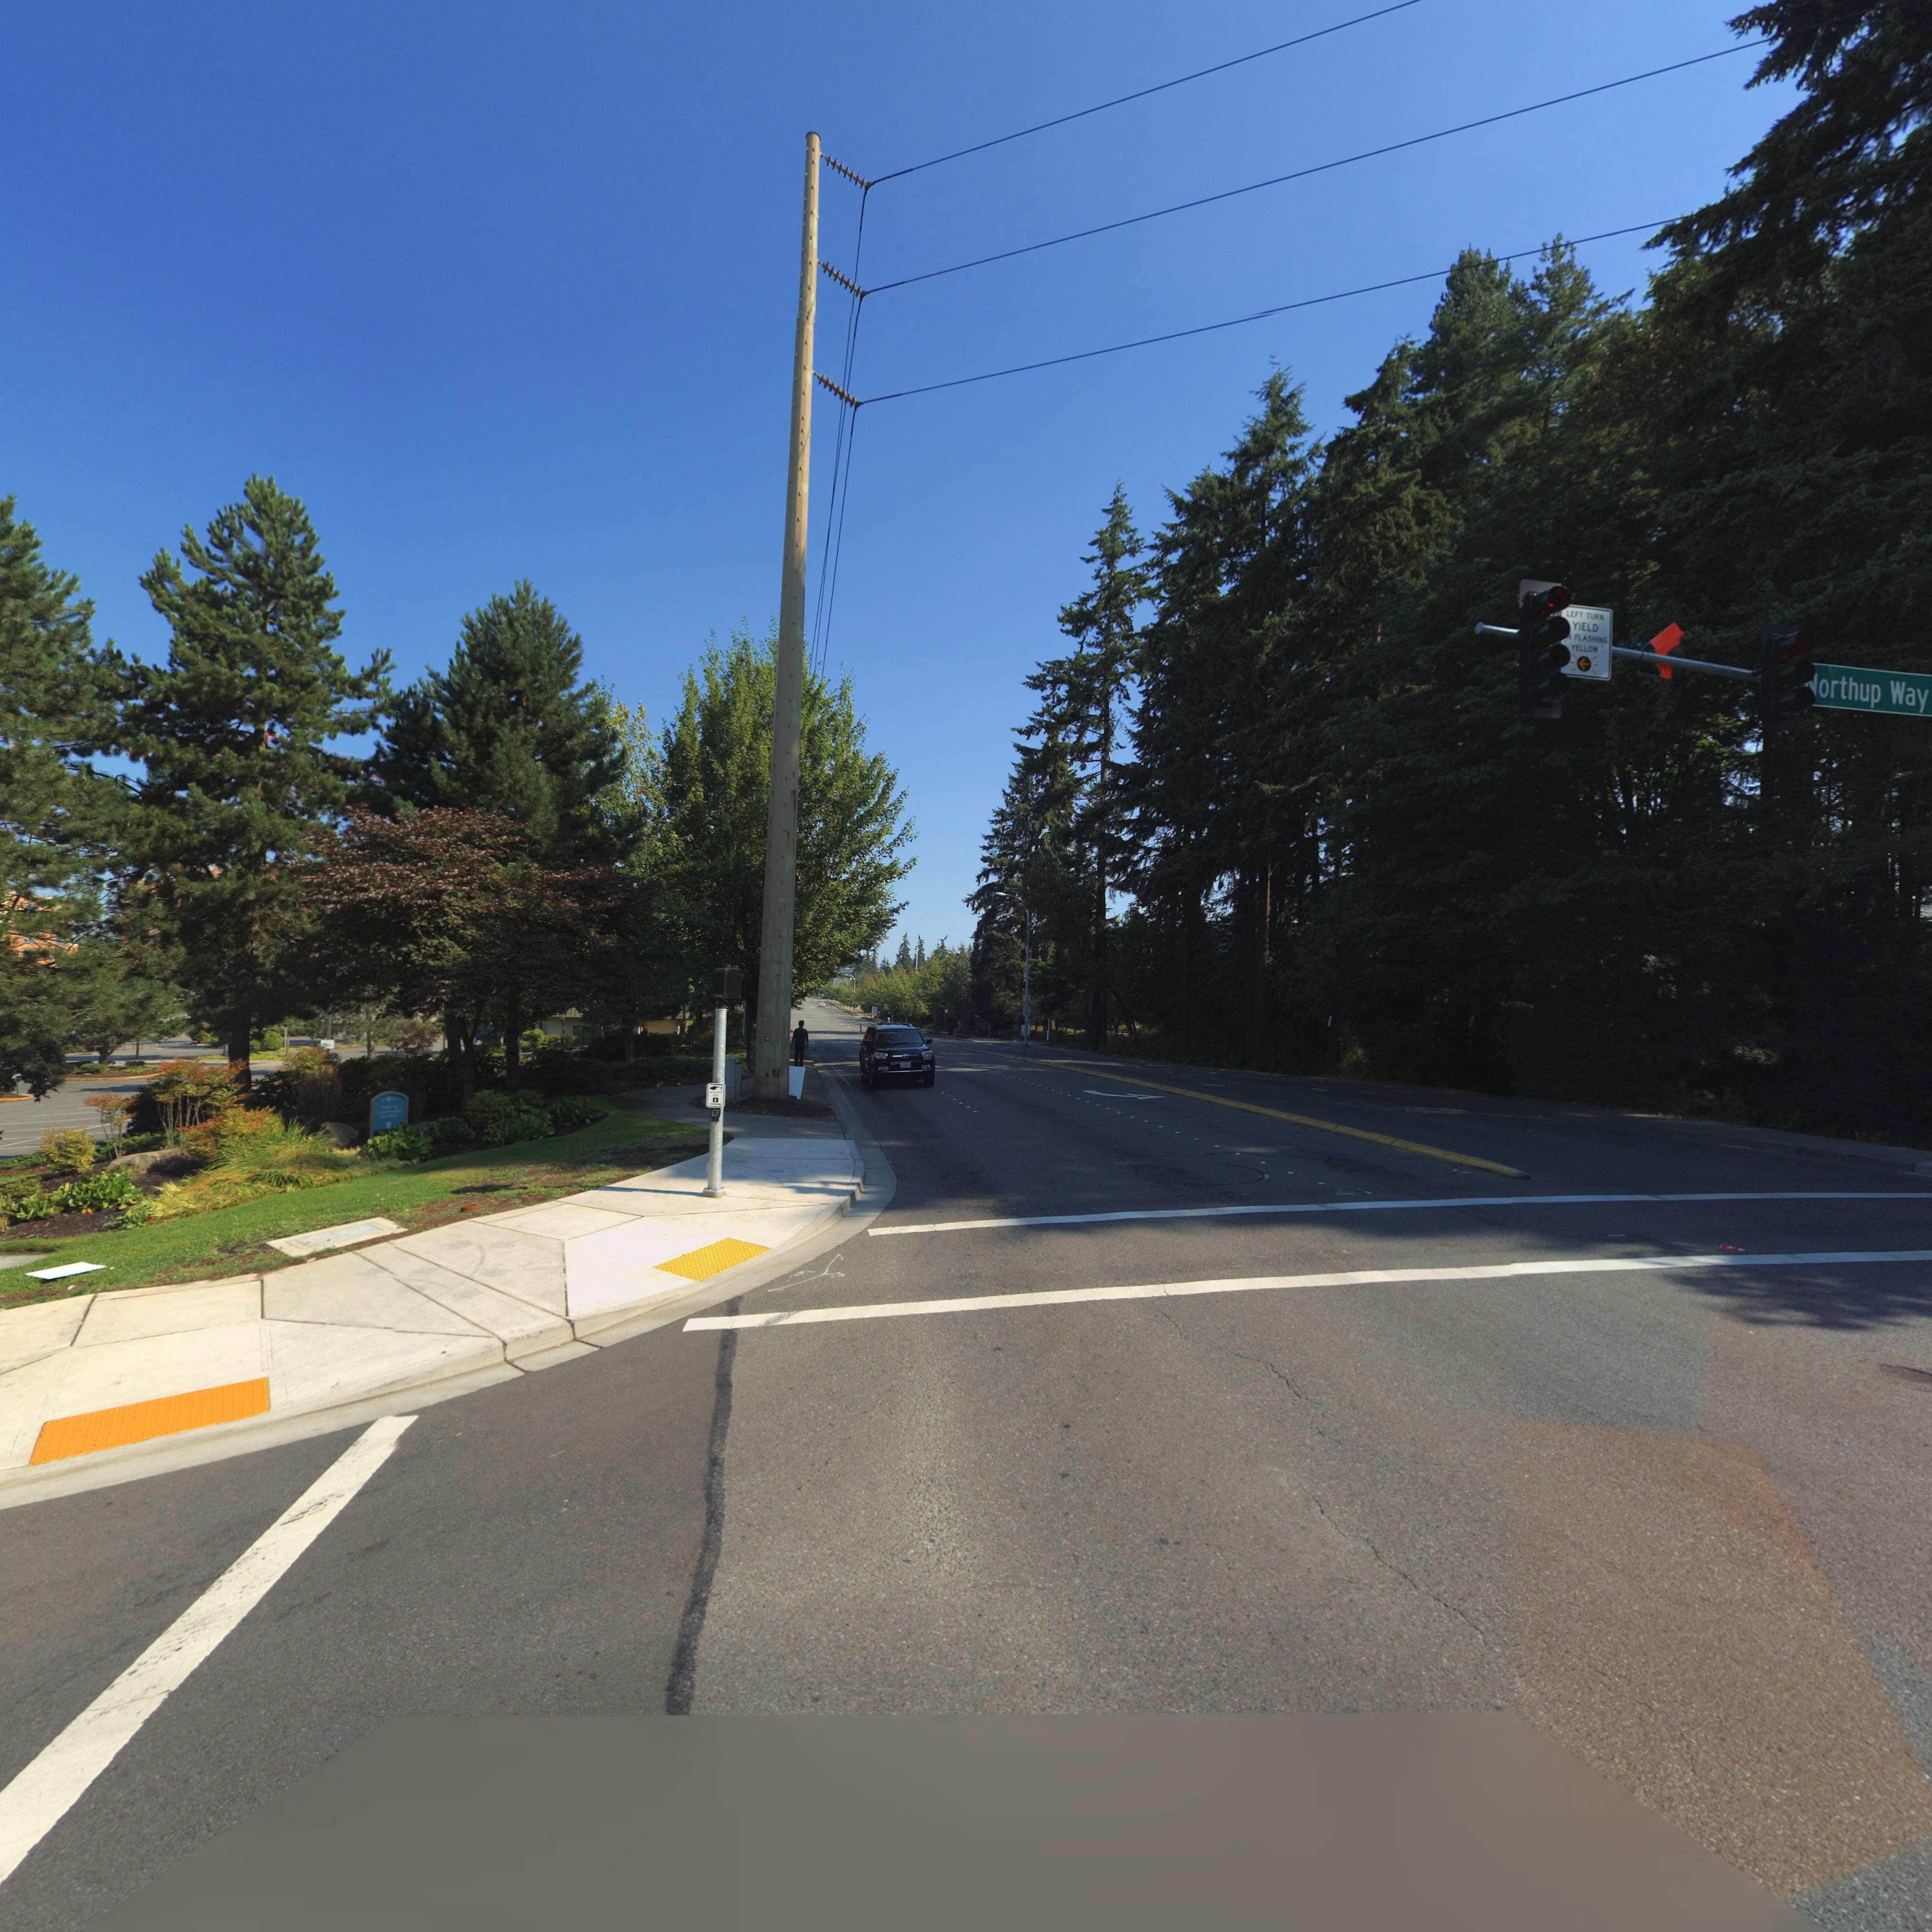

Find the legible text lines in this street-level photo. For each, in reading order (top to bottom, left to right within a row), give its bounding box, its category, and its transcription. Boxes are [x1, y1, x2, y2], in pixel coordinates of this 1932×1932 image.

[1818, 676, 1928, 713] StreetName: orthup Way